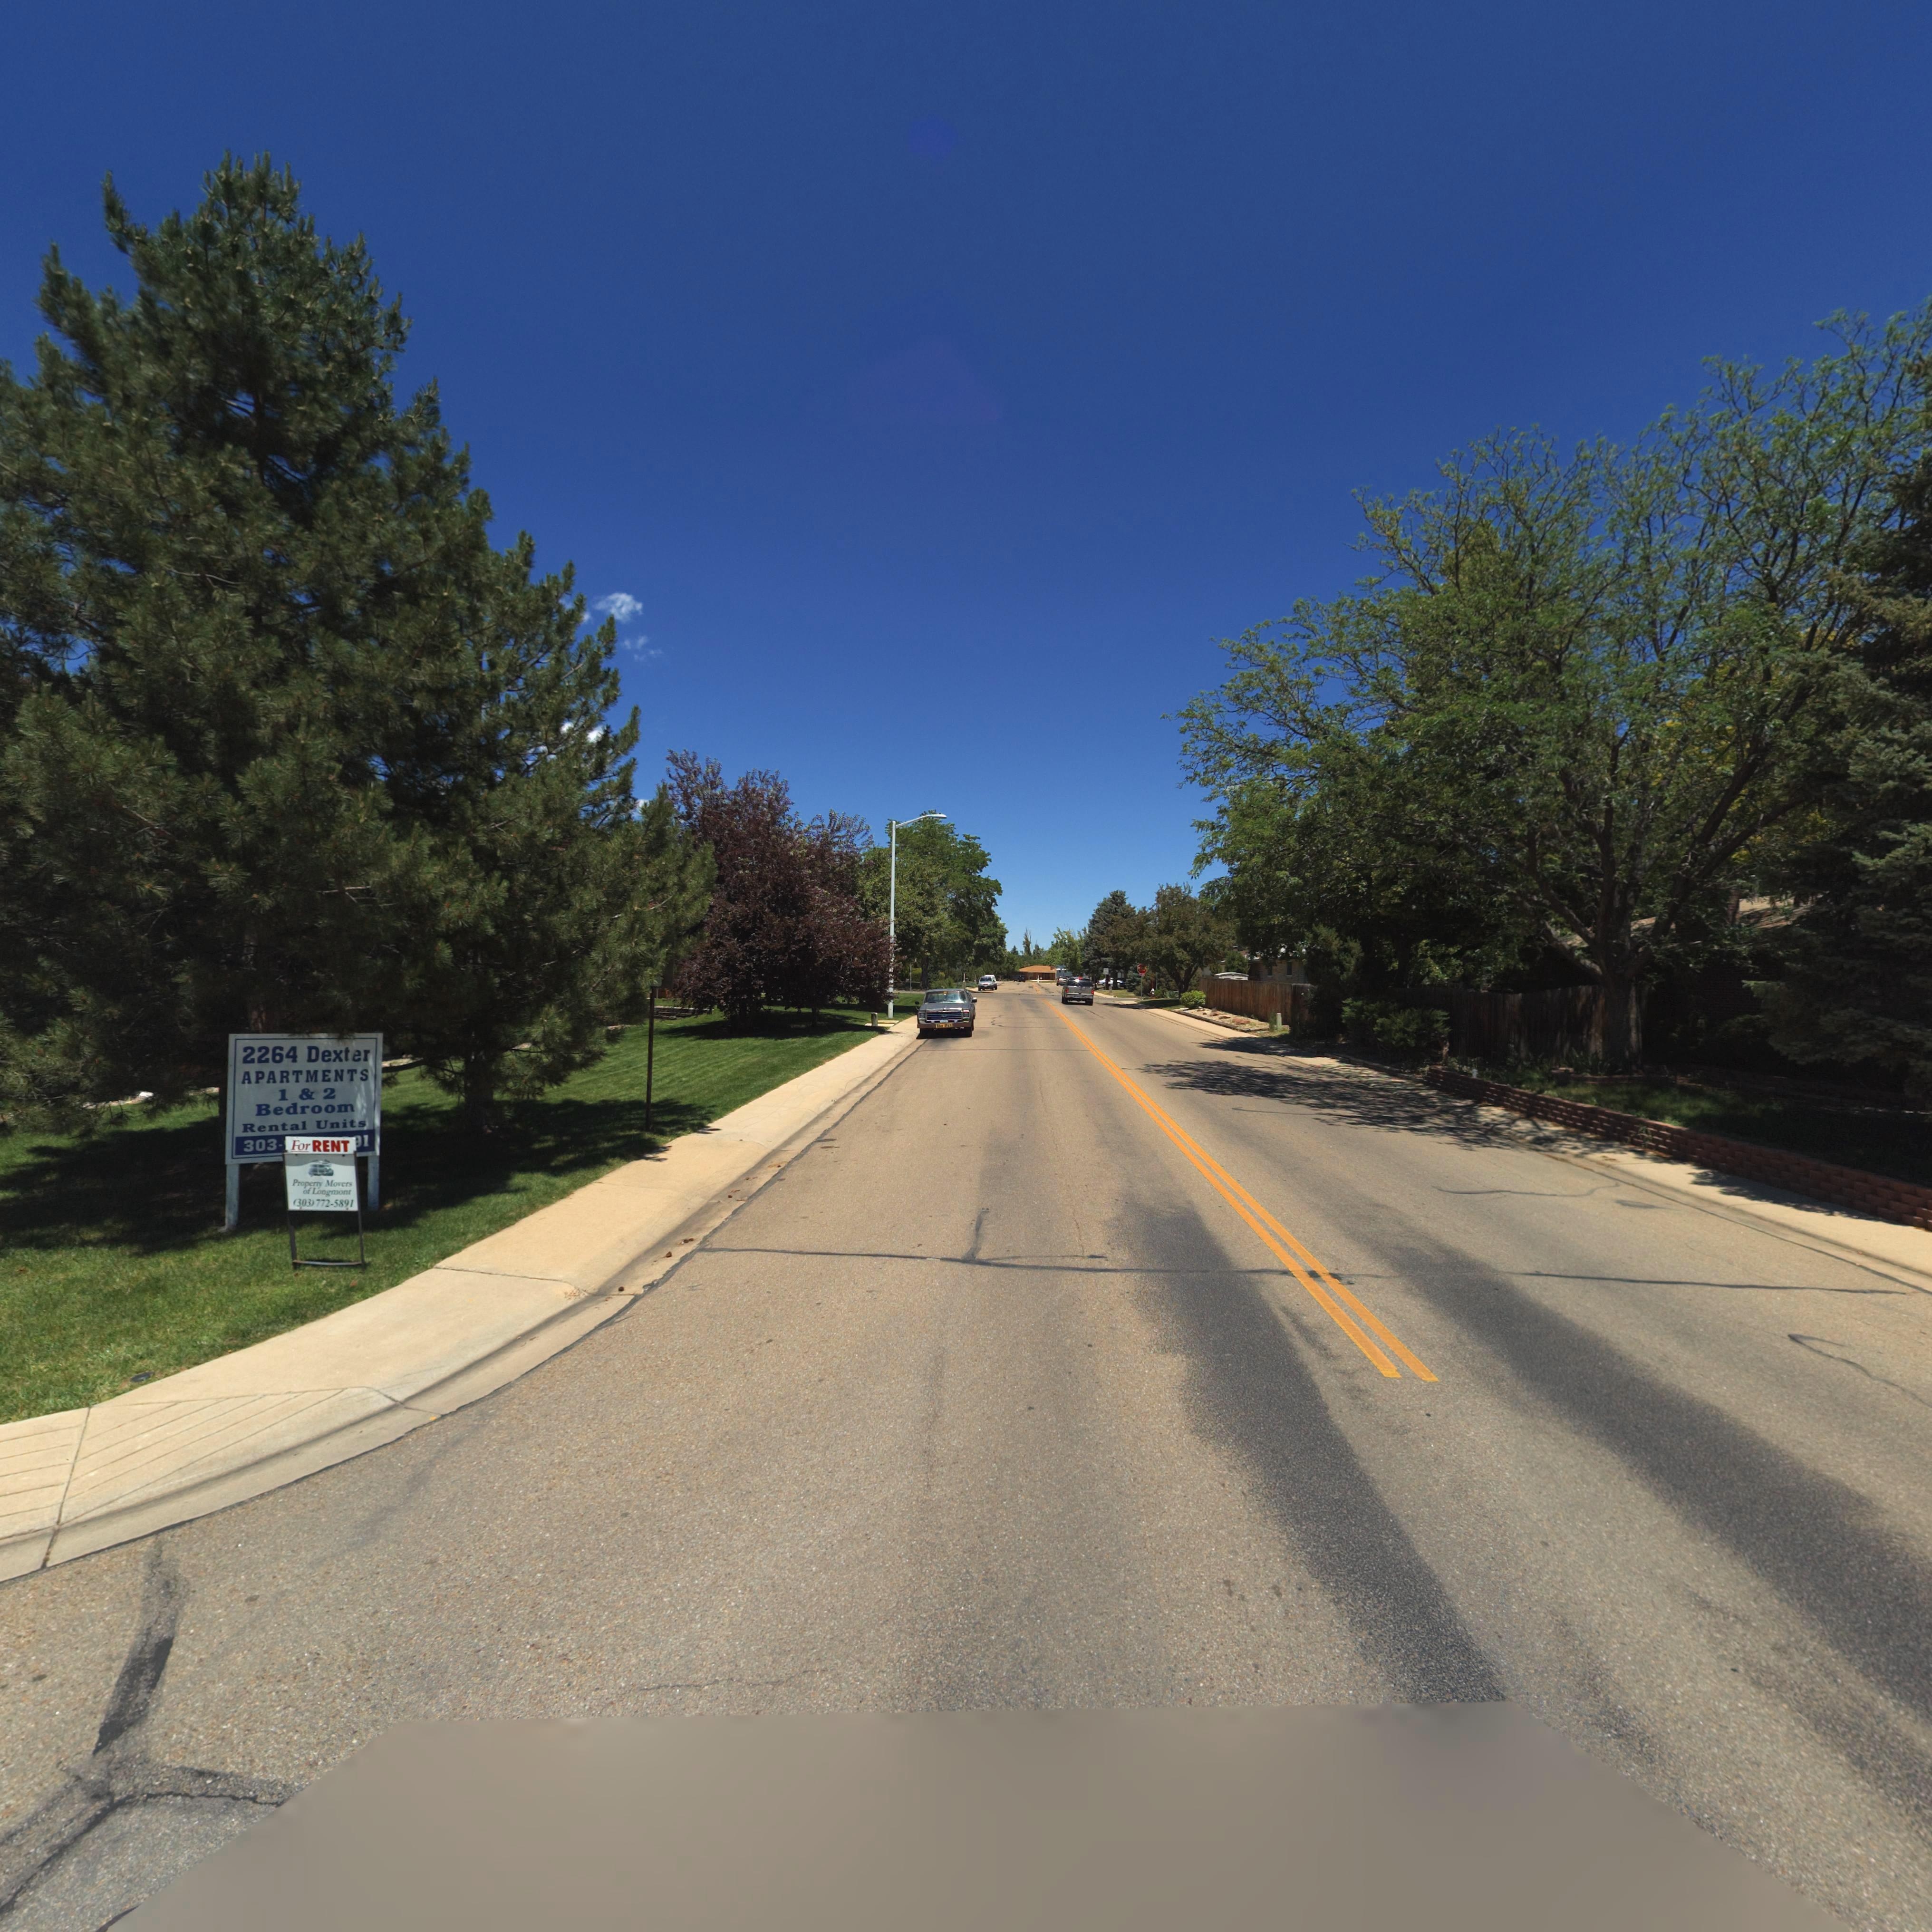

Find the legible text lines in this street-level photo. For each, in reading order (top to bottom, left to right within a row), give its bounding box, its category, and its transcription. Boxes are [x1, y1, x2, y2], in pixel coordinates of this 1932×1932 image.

[241, 1045, 298, 1064] StreetNumber: 2264
[306, 1045, 371, 1063] StreetName: Dexter